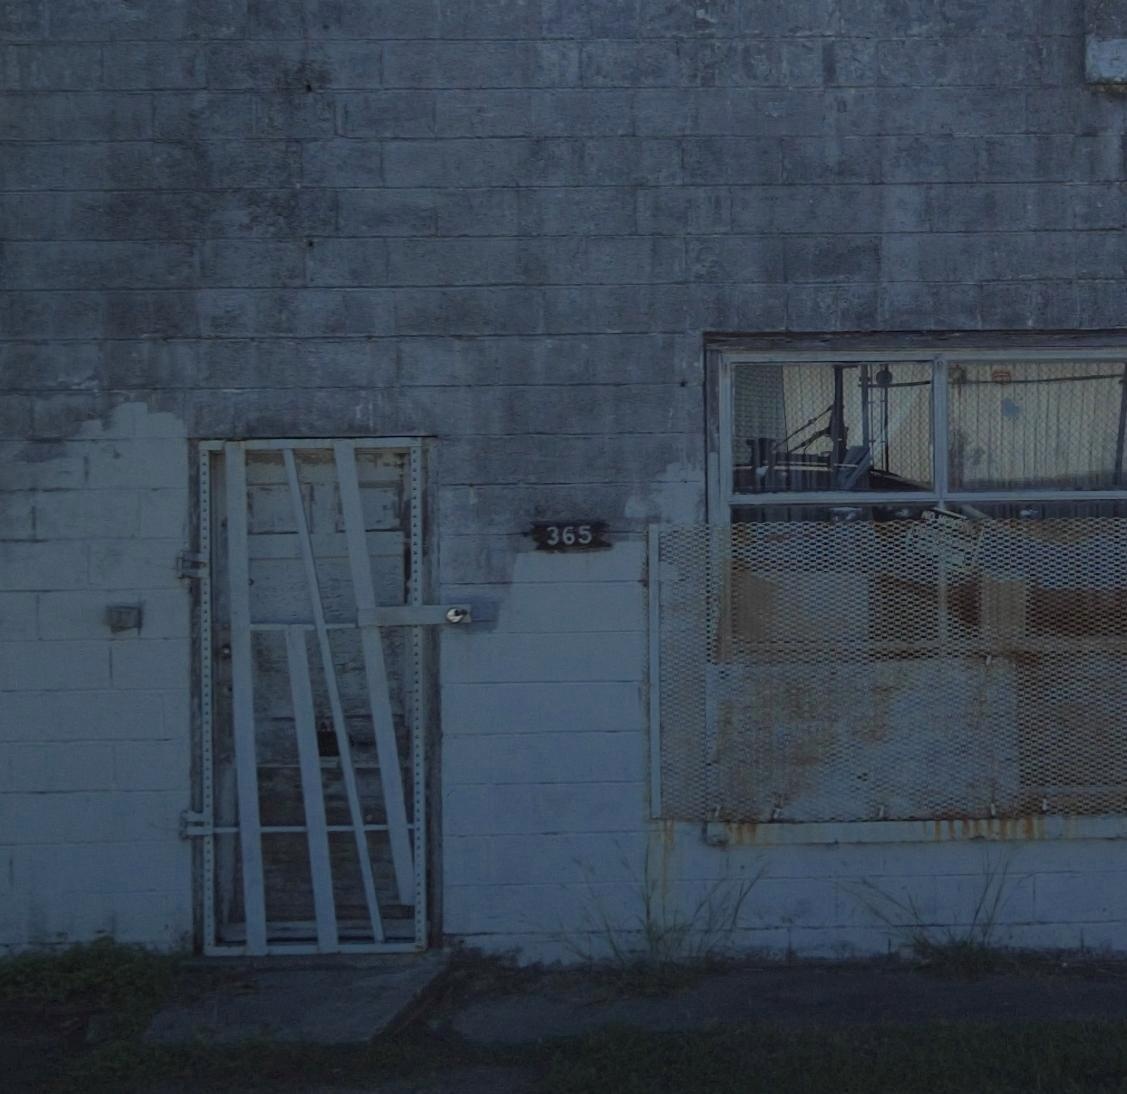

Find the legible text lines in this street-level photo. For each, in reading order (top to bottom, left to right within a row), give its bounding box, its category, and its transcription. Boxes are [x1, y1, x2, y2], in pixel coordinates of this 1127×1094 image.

[544, 521, 595, 548] StreetNumber: 365